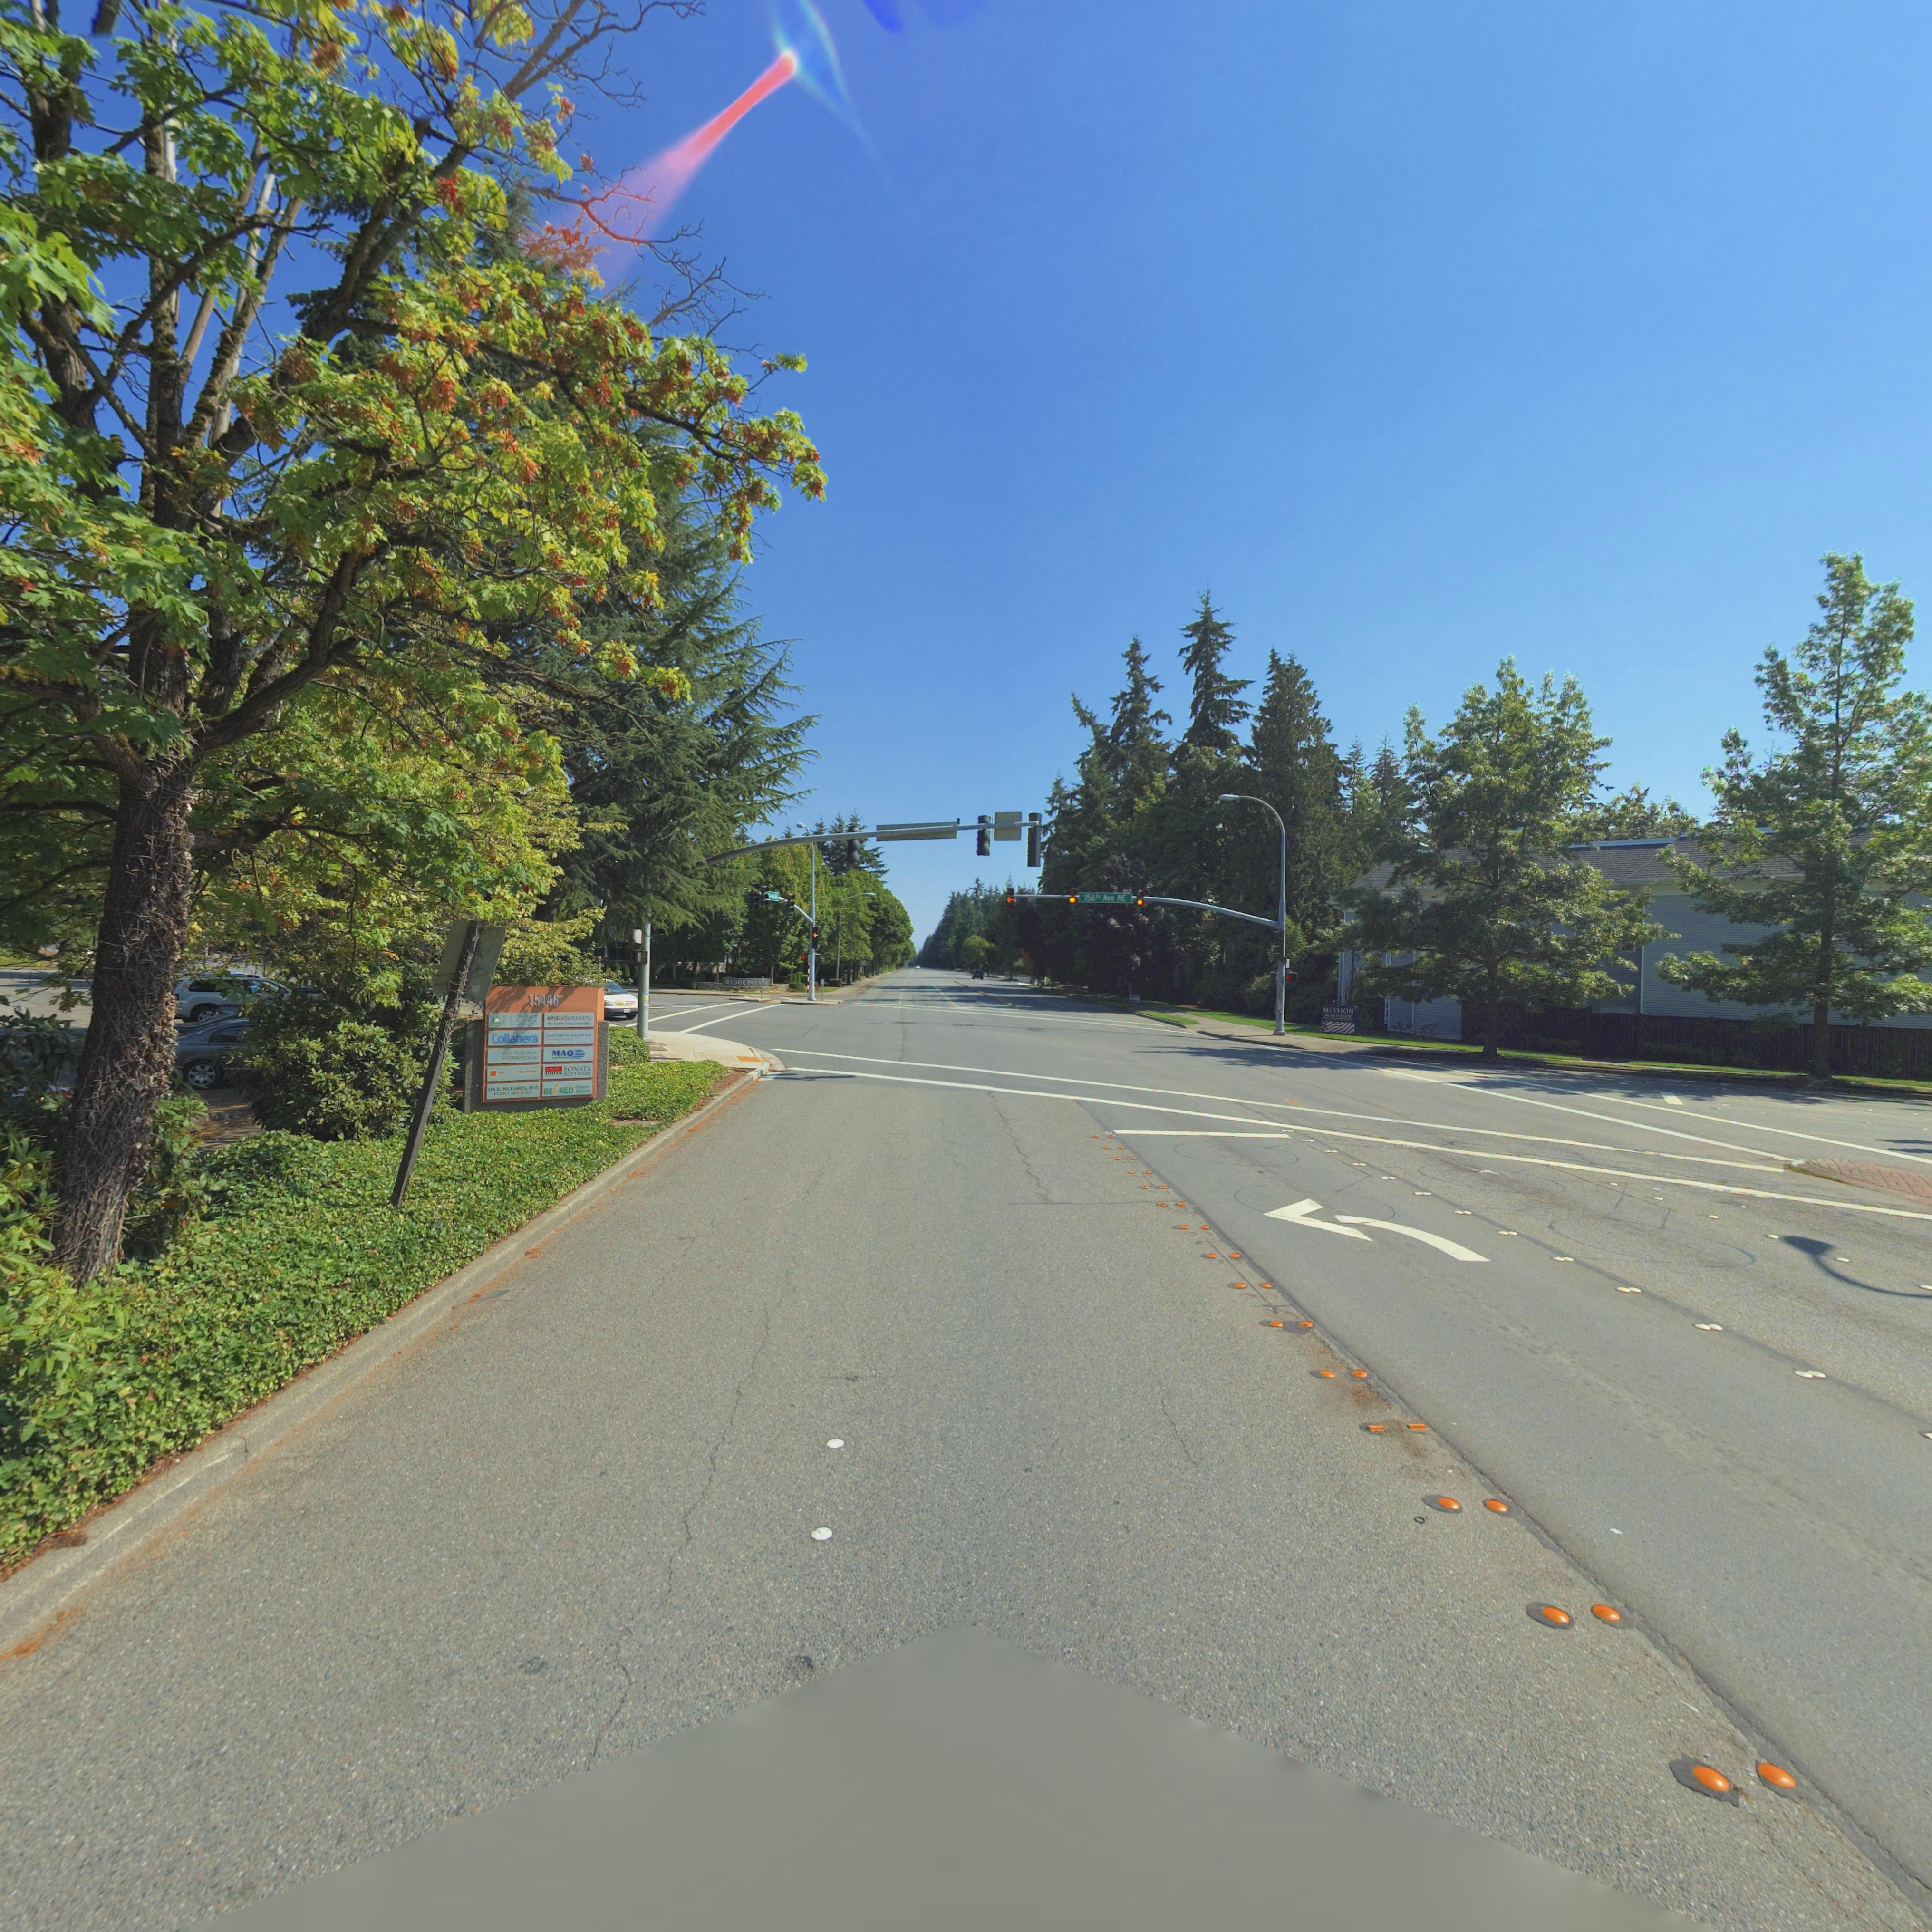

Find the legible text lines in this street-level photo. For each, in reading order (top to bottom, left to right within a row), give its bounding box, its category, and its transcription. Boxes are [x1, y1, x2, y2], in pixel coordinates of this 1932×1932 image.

[1084, 894, 1126, 901] StreetName: 156 Ave NE
[547, 1014, 592, 1021] BusinessName: ens*dentistry
[491, 1032, 538, 1043] BusinessName: Collabera
[551, 1048, 575, 1056] BusinessName: MAQ
[562, 1064, 592, 1071] BusinessName: SONATA